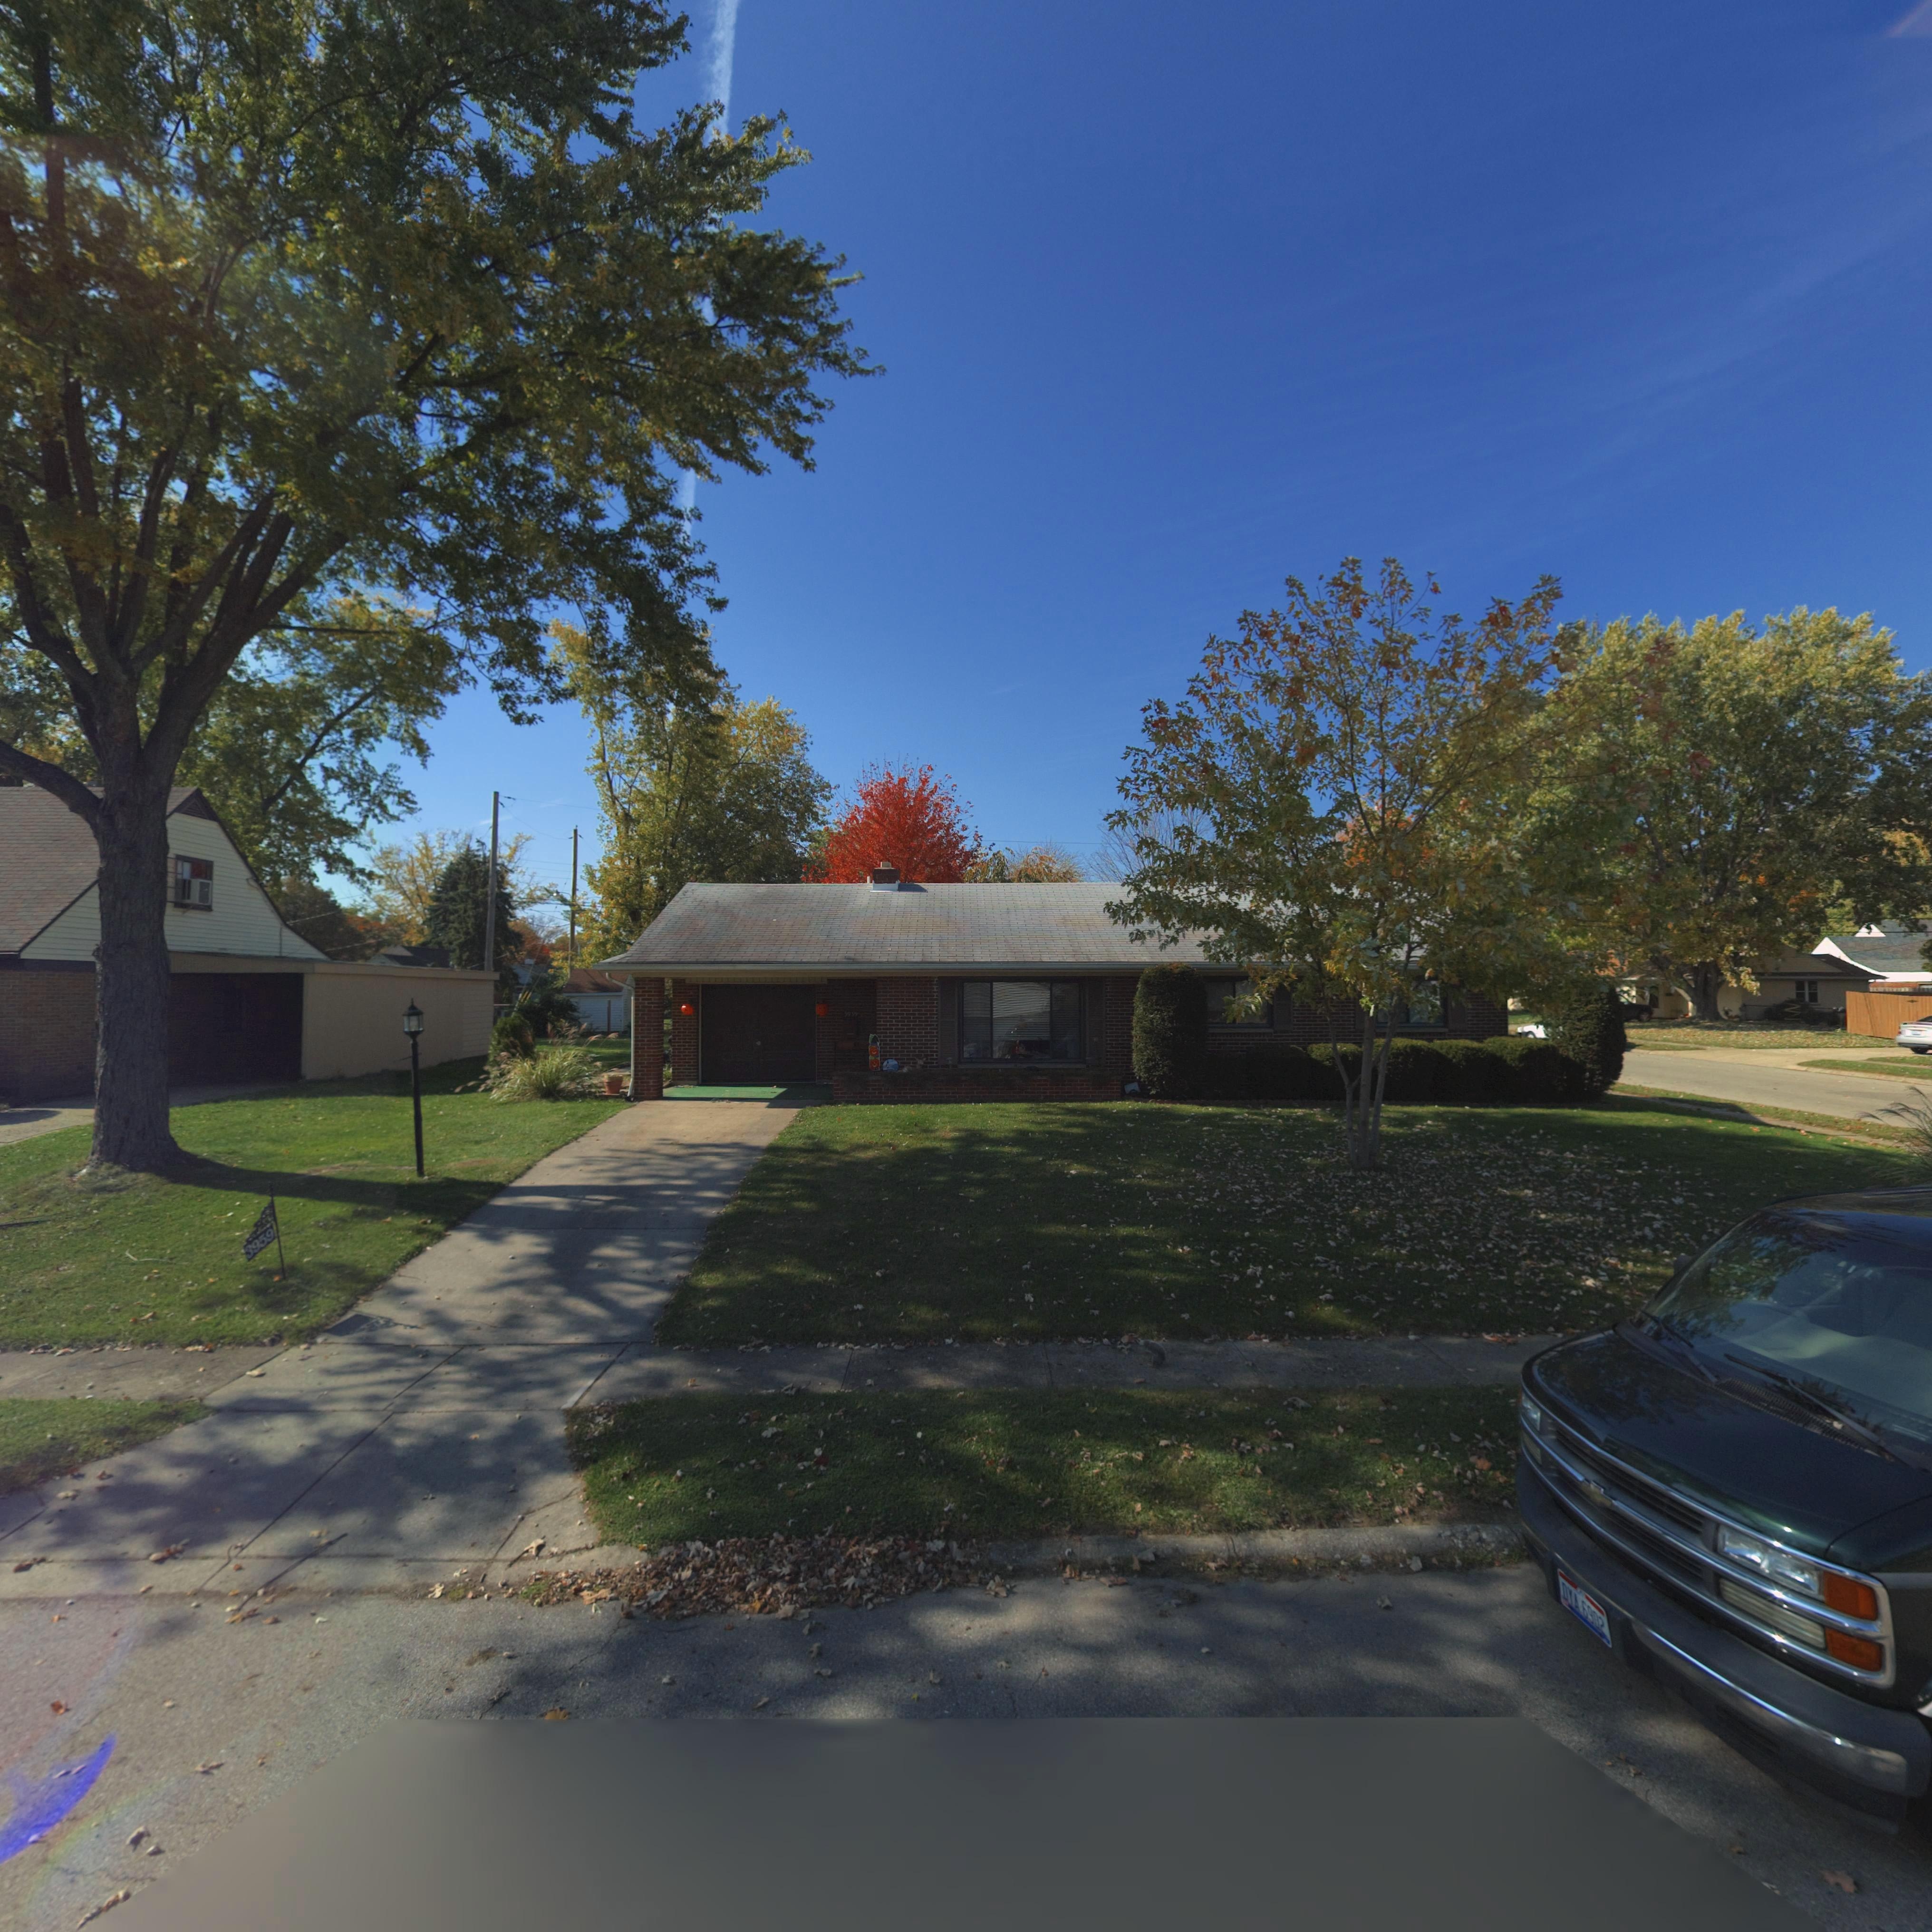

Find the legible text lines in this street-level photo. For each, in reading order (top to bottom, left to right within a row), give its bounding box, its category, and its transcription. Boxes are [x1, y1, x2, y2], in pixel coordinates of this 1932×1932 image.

[842, 1010, 859, 1018] StreetNumber: 3959
[244, 1226, 276, 1261] StreetNumber: 3959
[1560, 1578, 1607, 1636] None: DYA 6902